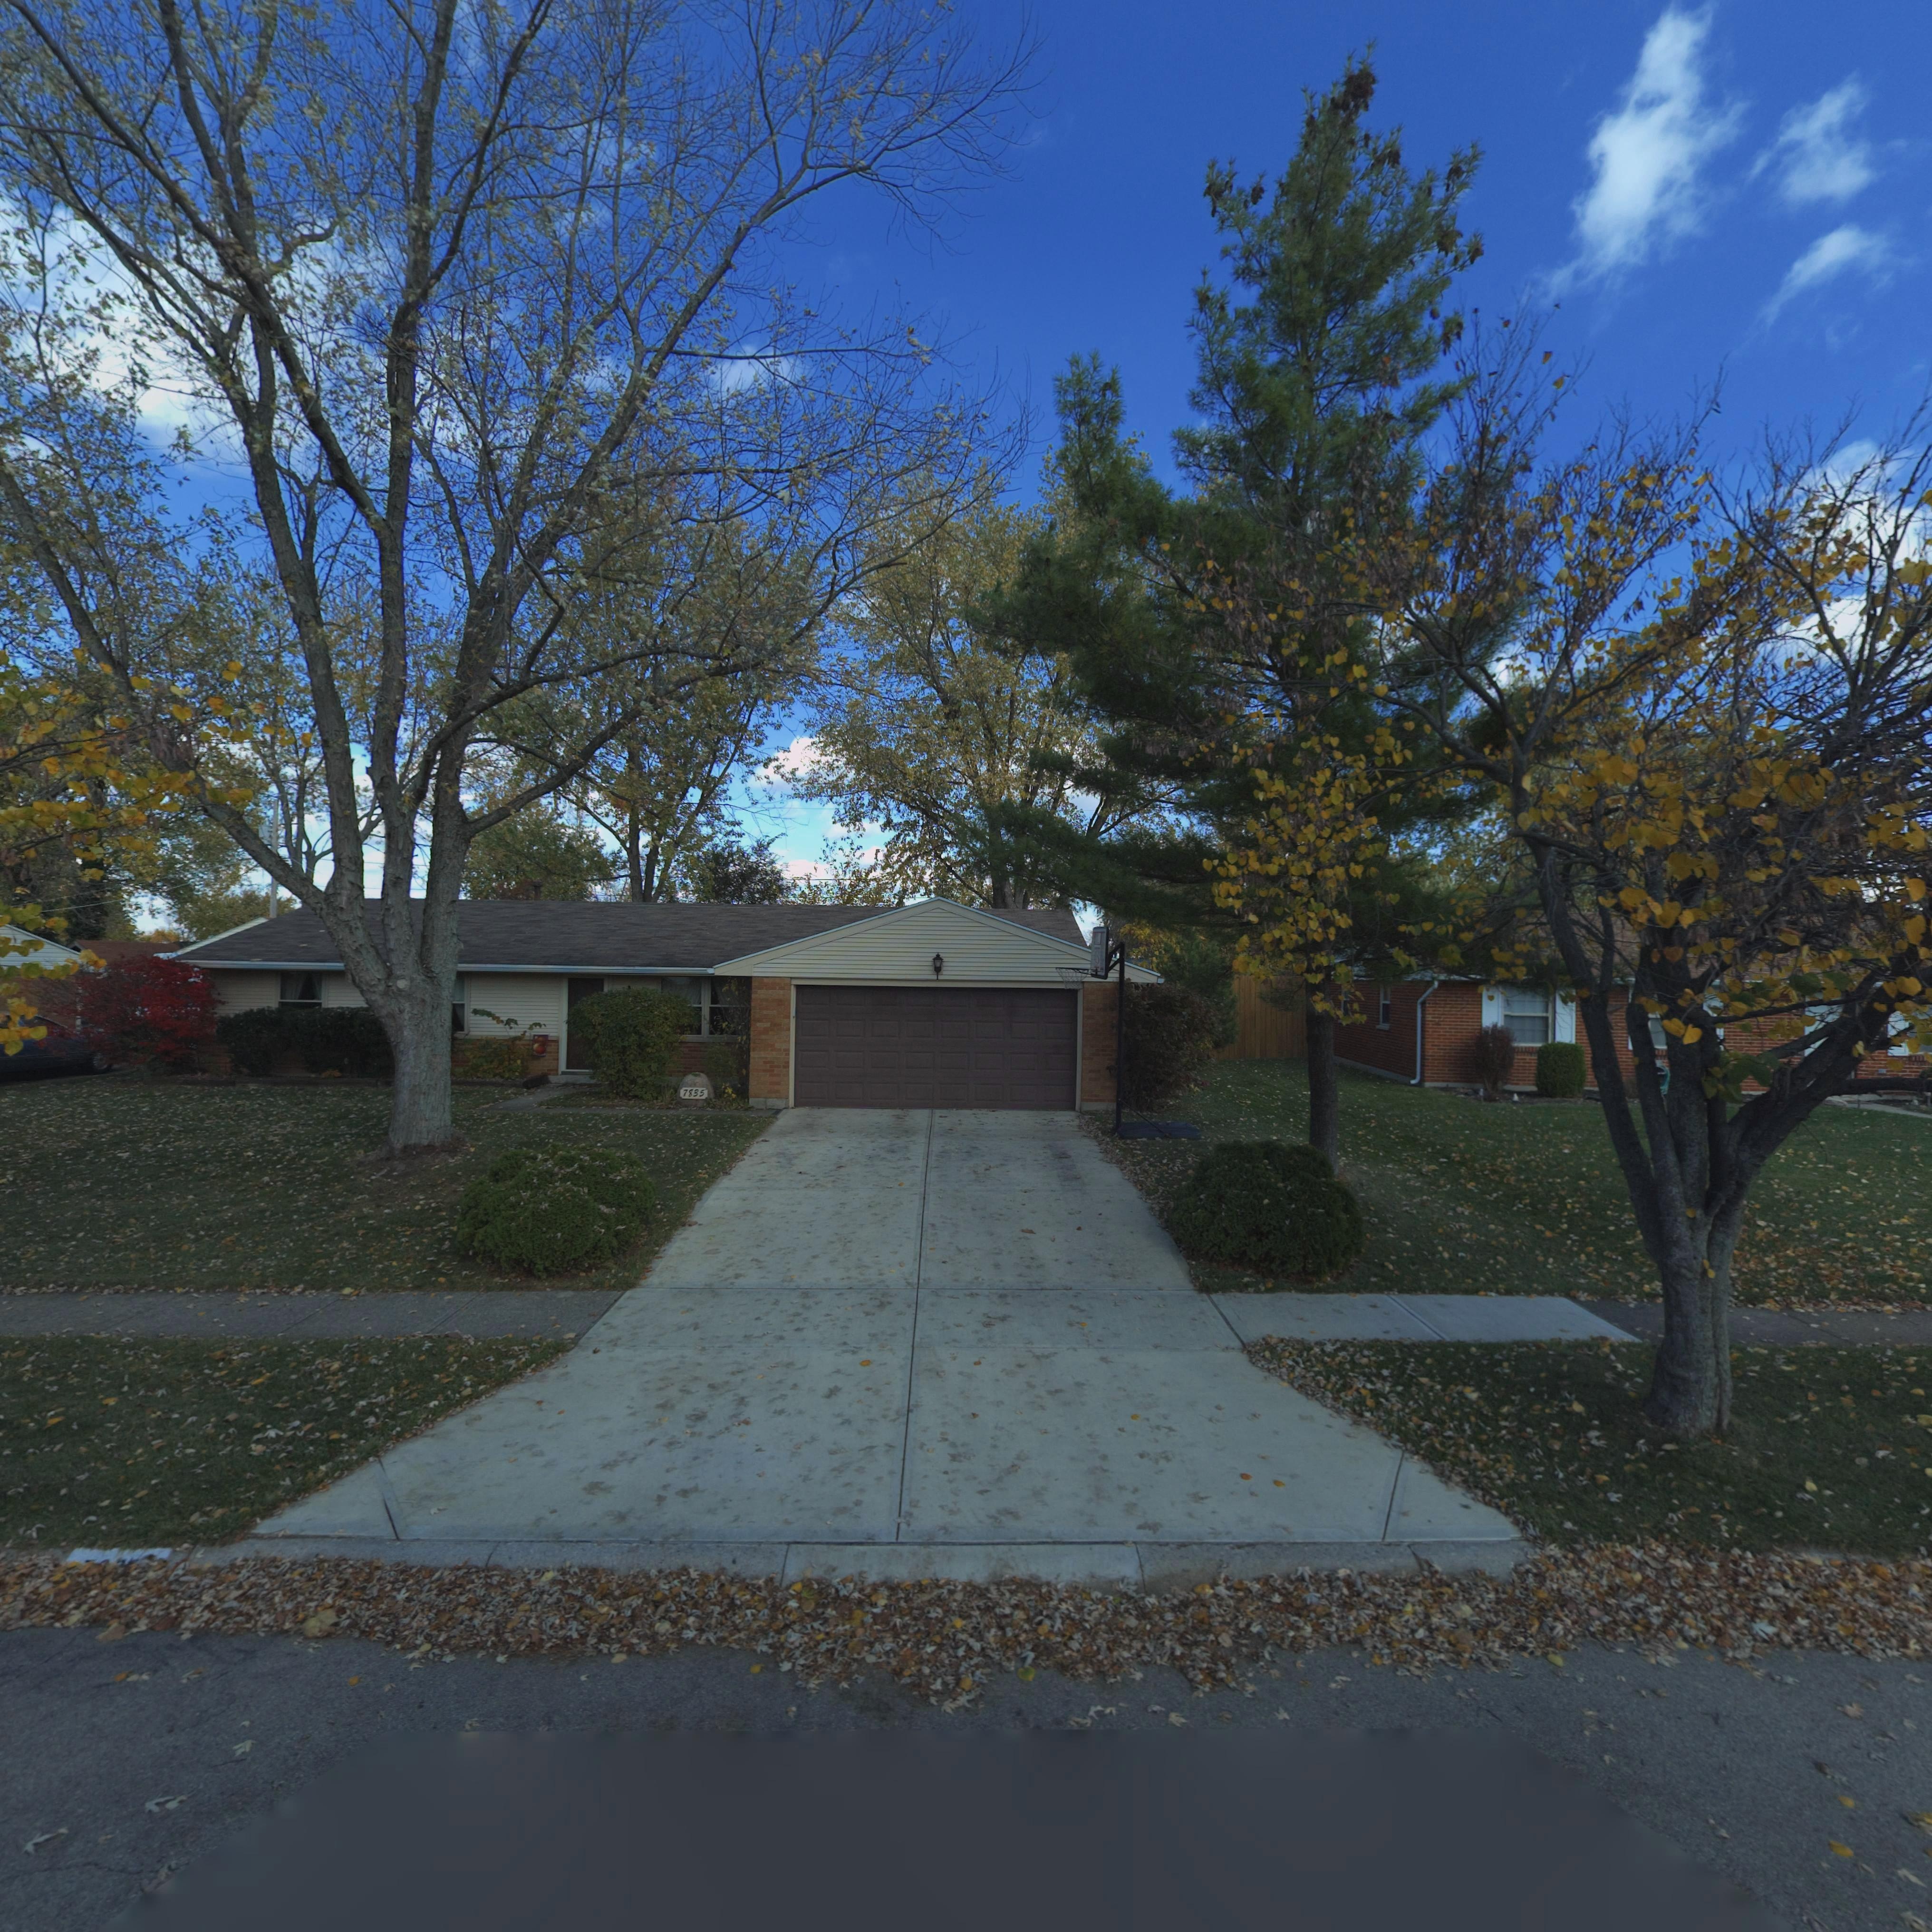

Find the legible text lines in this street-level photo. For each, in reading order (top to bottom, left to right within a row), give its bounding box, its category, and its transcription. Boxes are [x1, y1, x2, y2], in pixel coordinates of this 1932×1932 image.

[683, 1089, 705, 1097] StreetNumber: 7835